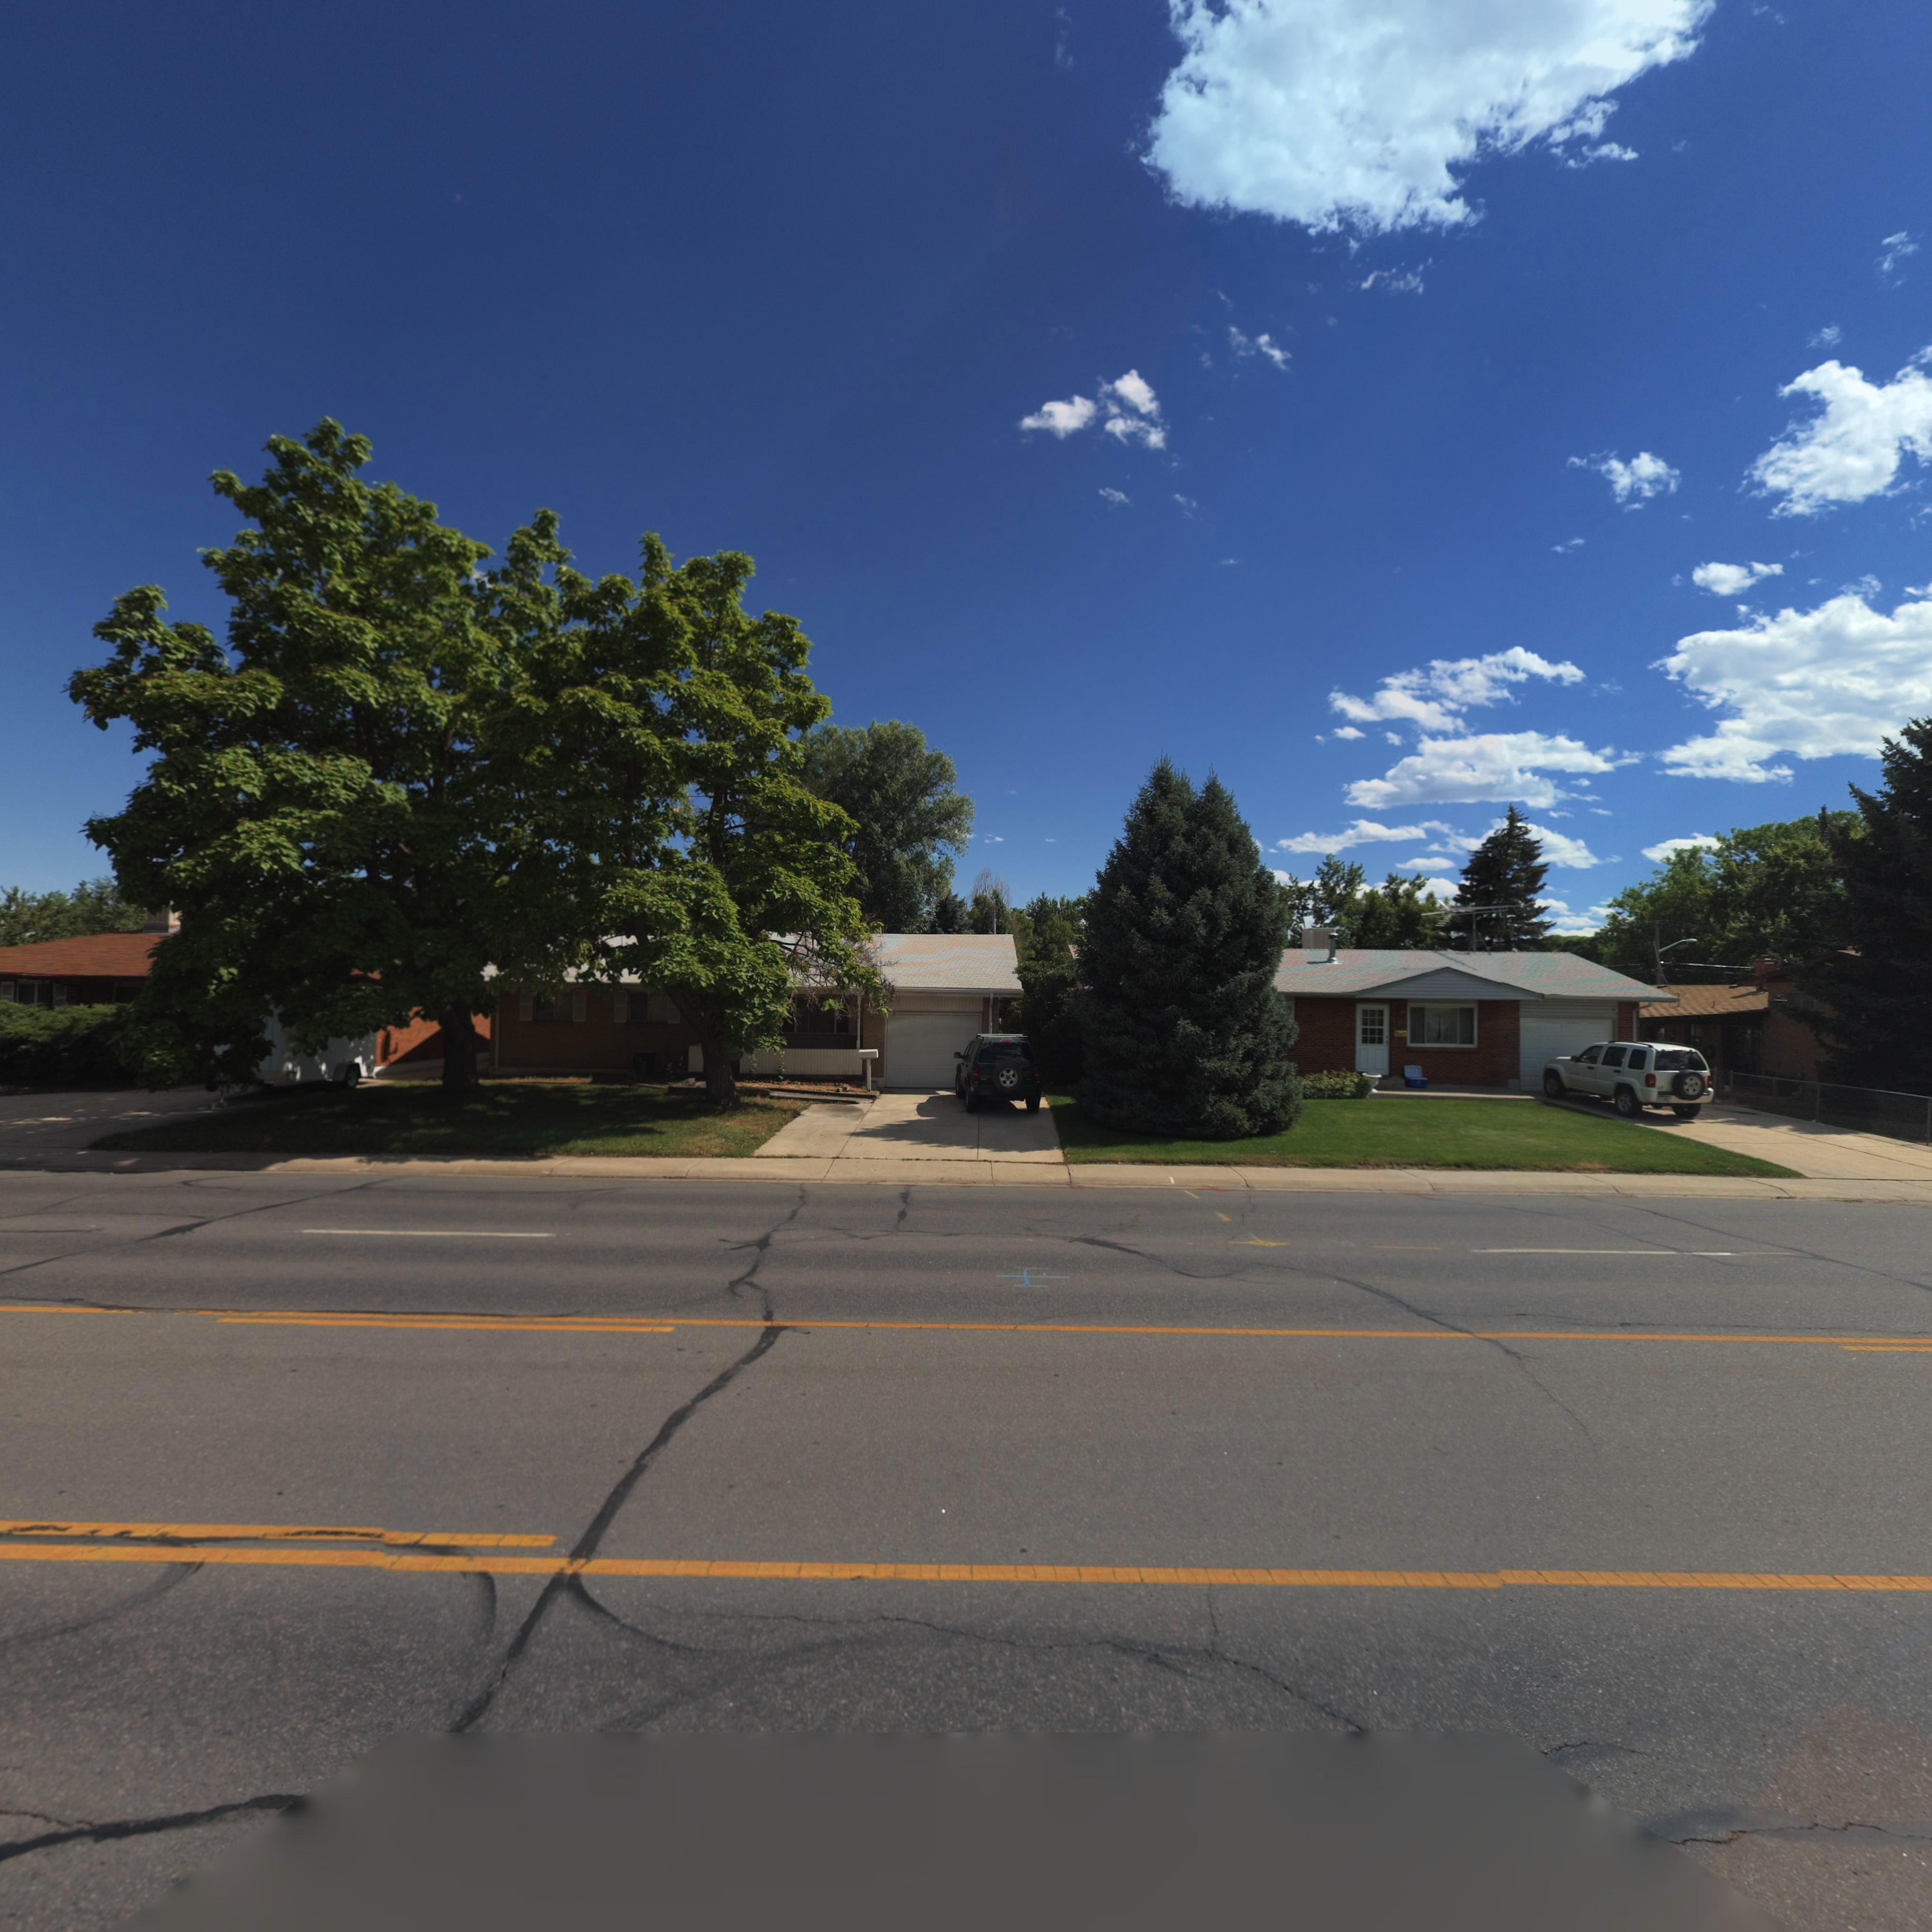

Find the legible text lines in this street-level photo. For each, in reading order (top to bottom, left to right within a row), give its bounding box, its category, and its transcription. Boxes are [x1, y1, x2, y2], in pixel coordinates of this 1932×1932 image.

[869, 1009, 875, 1013] StreetNumber: *2